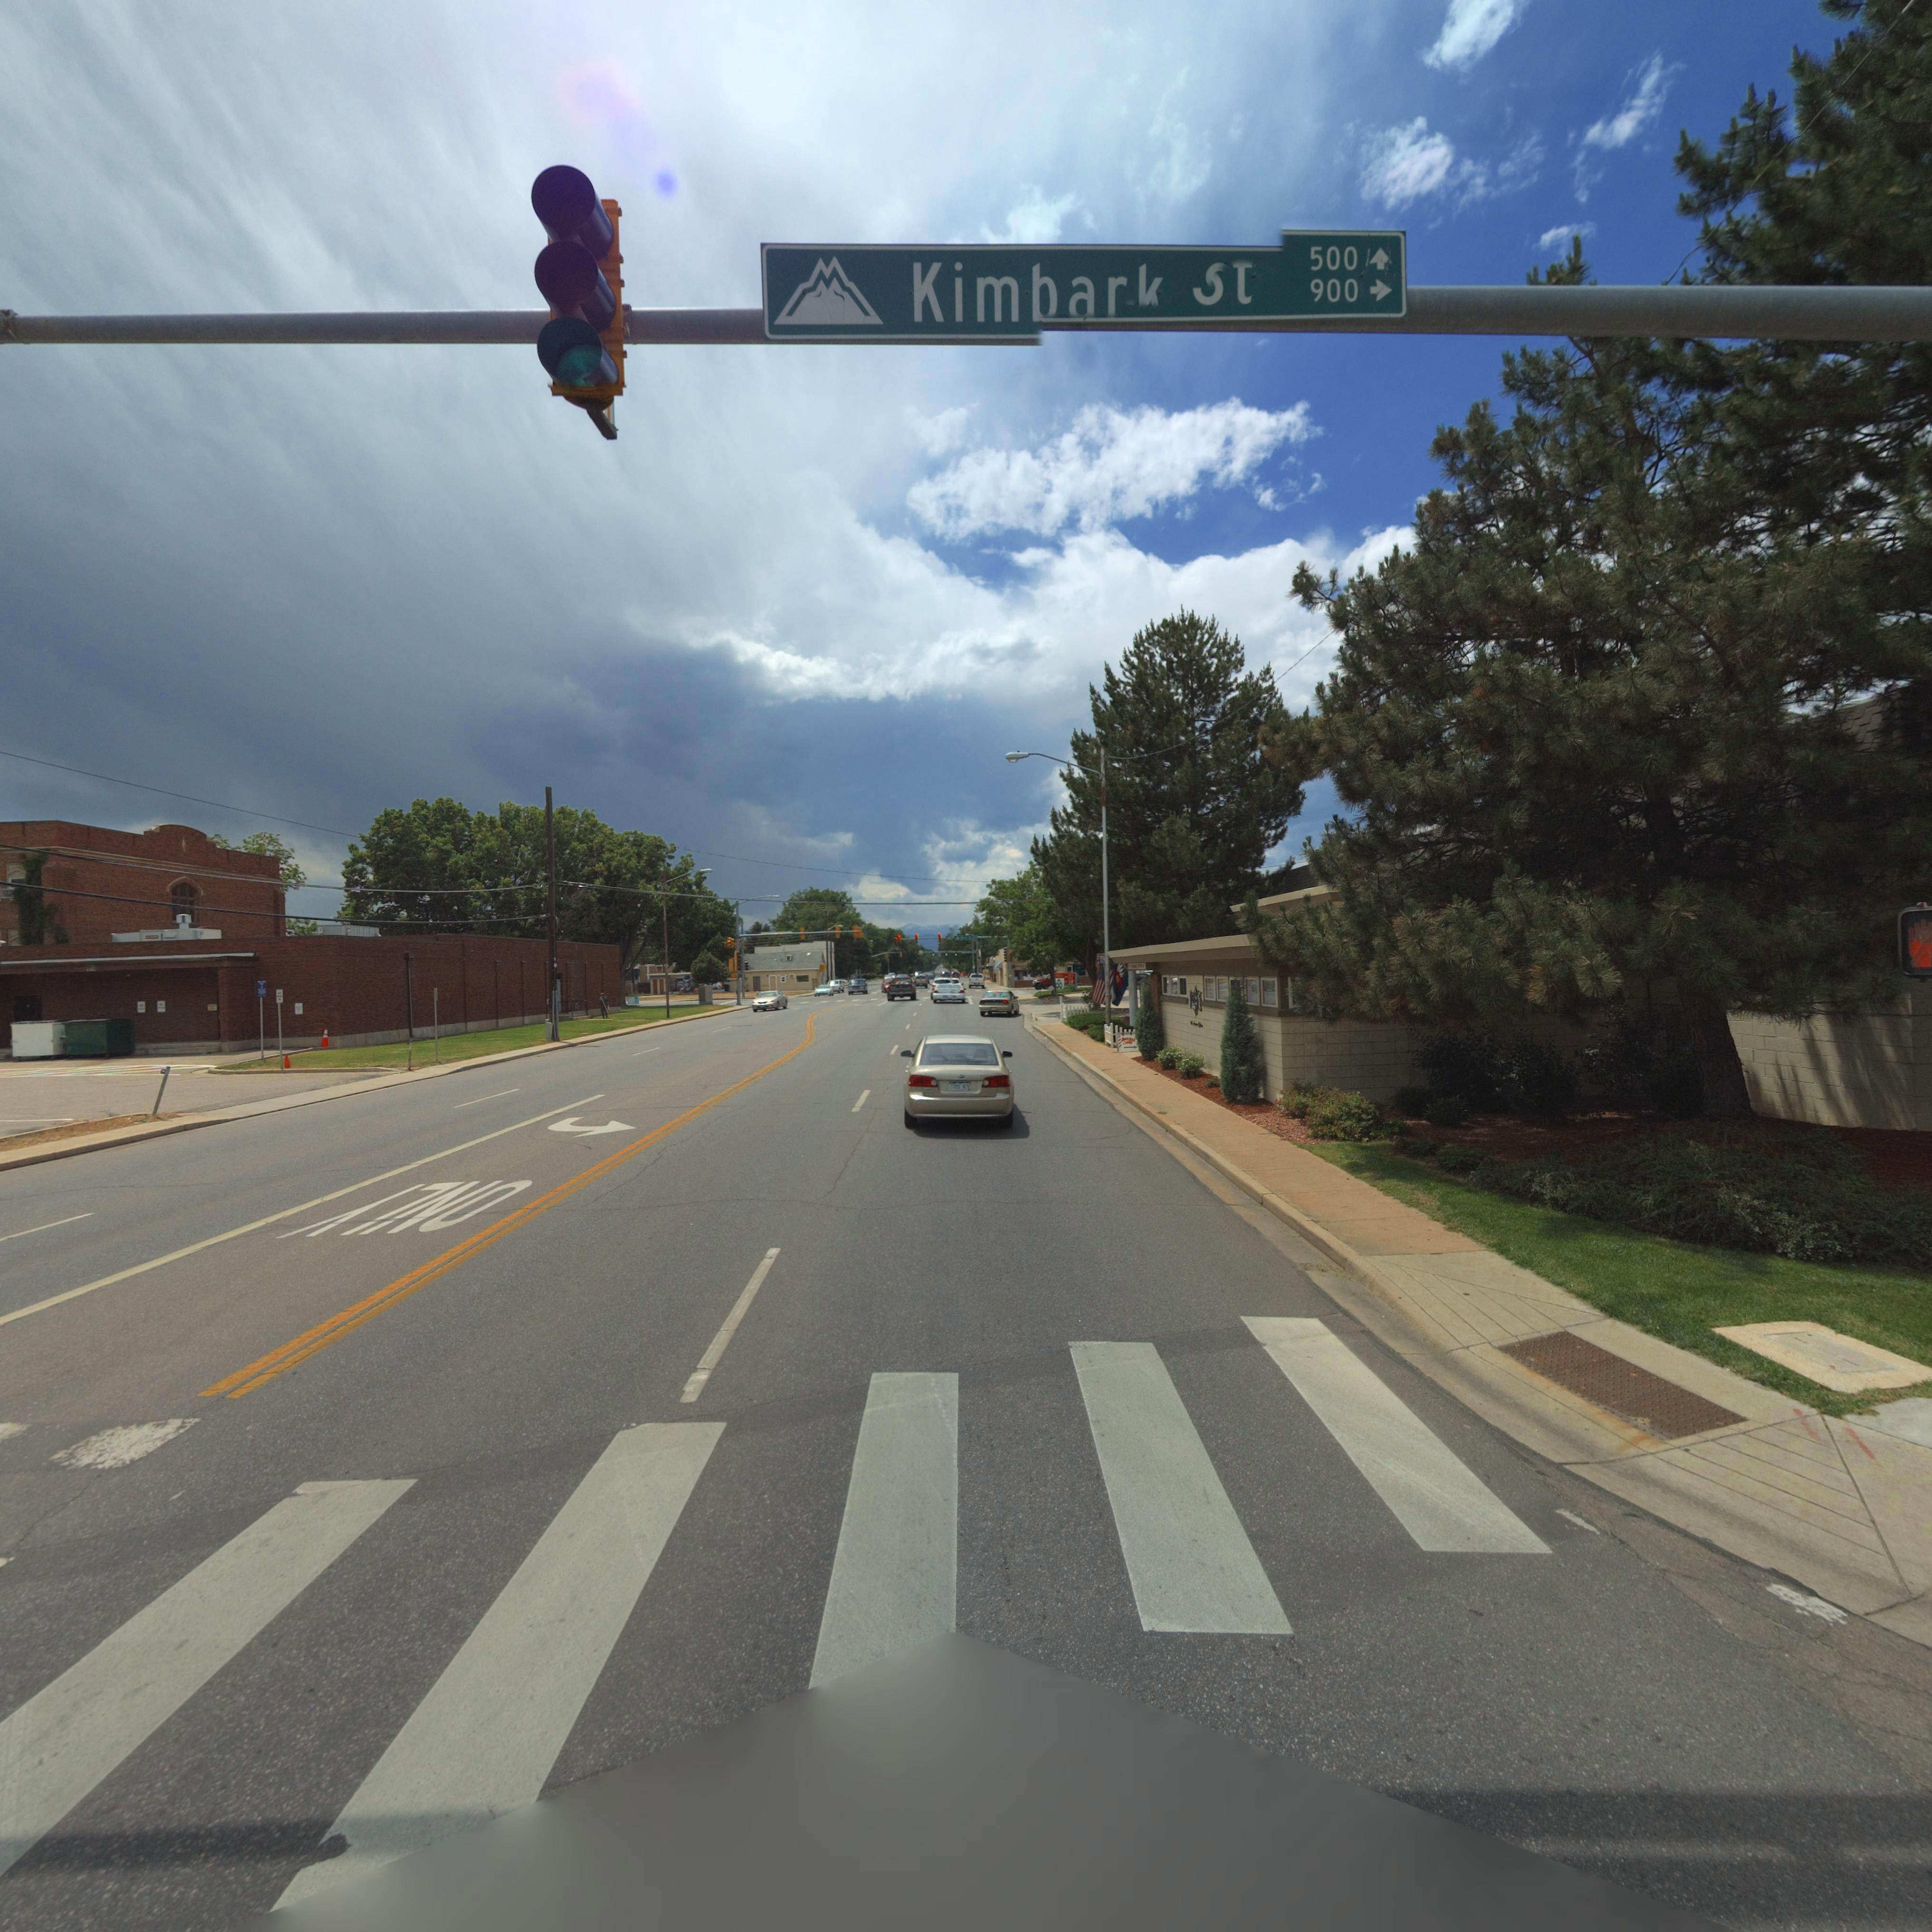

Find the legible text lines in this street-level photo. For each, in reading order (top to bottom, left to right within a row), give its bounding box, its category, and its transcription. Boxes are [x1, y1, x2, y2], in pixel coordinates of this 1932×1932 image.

[1308, 245, 1358, 271] StreetNumberRange: 500
[913, 259, 1253, 322] StreetName: Kimbar* **
[1311, 278, 1391, 302] StreetNumberRange: 900 ->